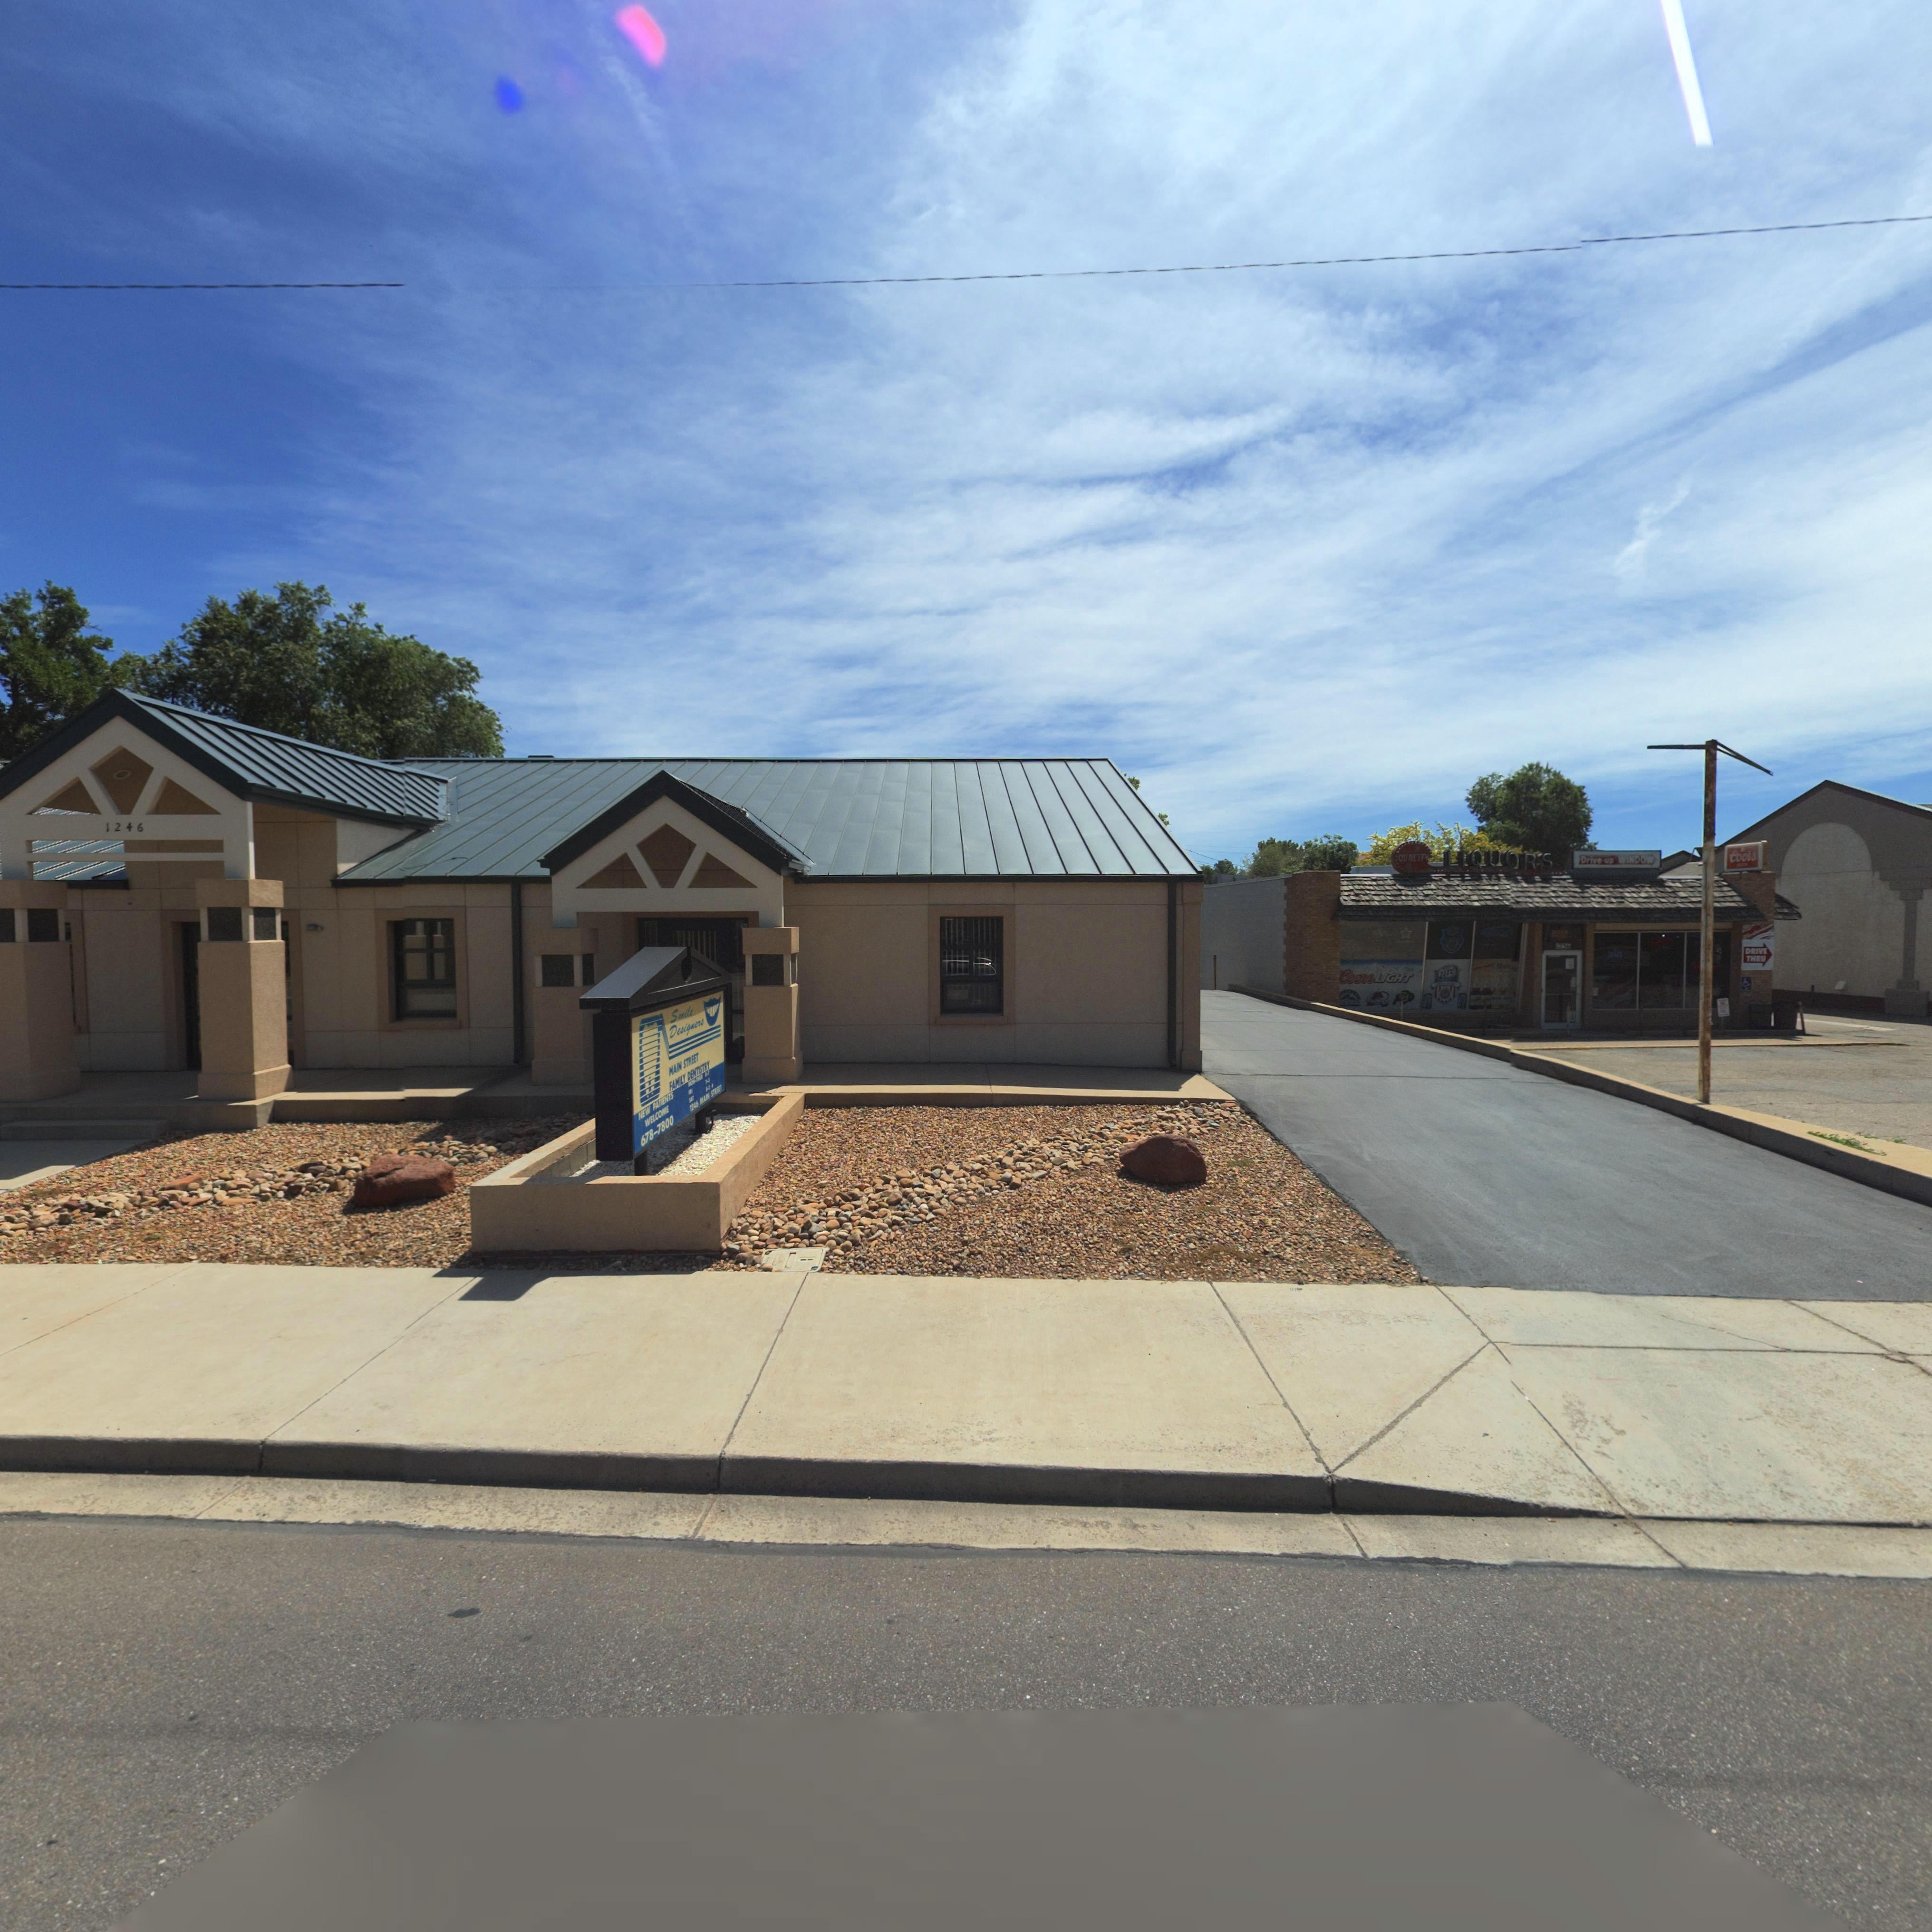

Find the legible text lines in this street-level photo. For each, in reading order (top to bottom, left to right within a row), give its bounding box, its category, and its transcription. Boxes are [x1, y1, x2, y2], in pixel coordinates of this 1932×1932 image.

[105, 821, 144, 832] StreetNumber: 1246
[1398, 853, 1429, 862] BusinessName: QUALITY
[1445, 849, 1553, 870] BusinessName: LIQU**RS
[1556, 943, 1570, 949] StreetNumber: 1236
[670, 1005, 693, 1023] BusinessName: Smile
[669, 1018, 704, 1039] BusinessName: Designers
[699, 1083, 722, 1105] StreetName: MAIN STREET
[689, 1100, 699, 1112] StreetNumber: *246